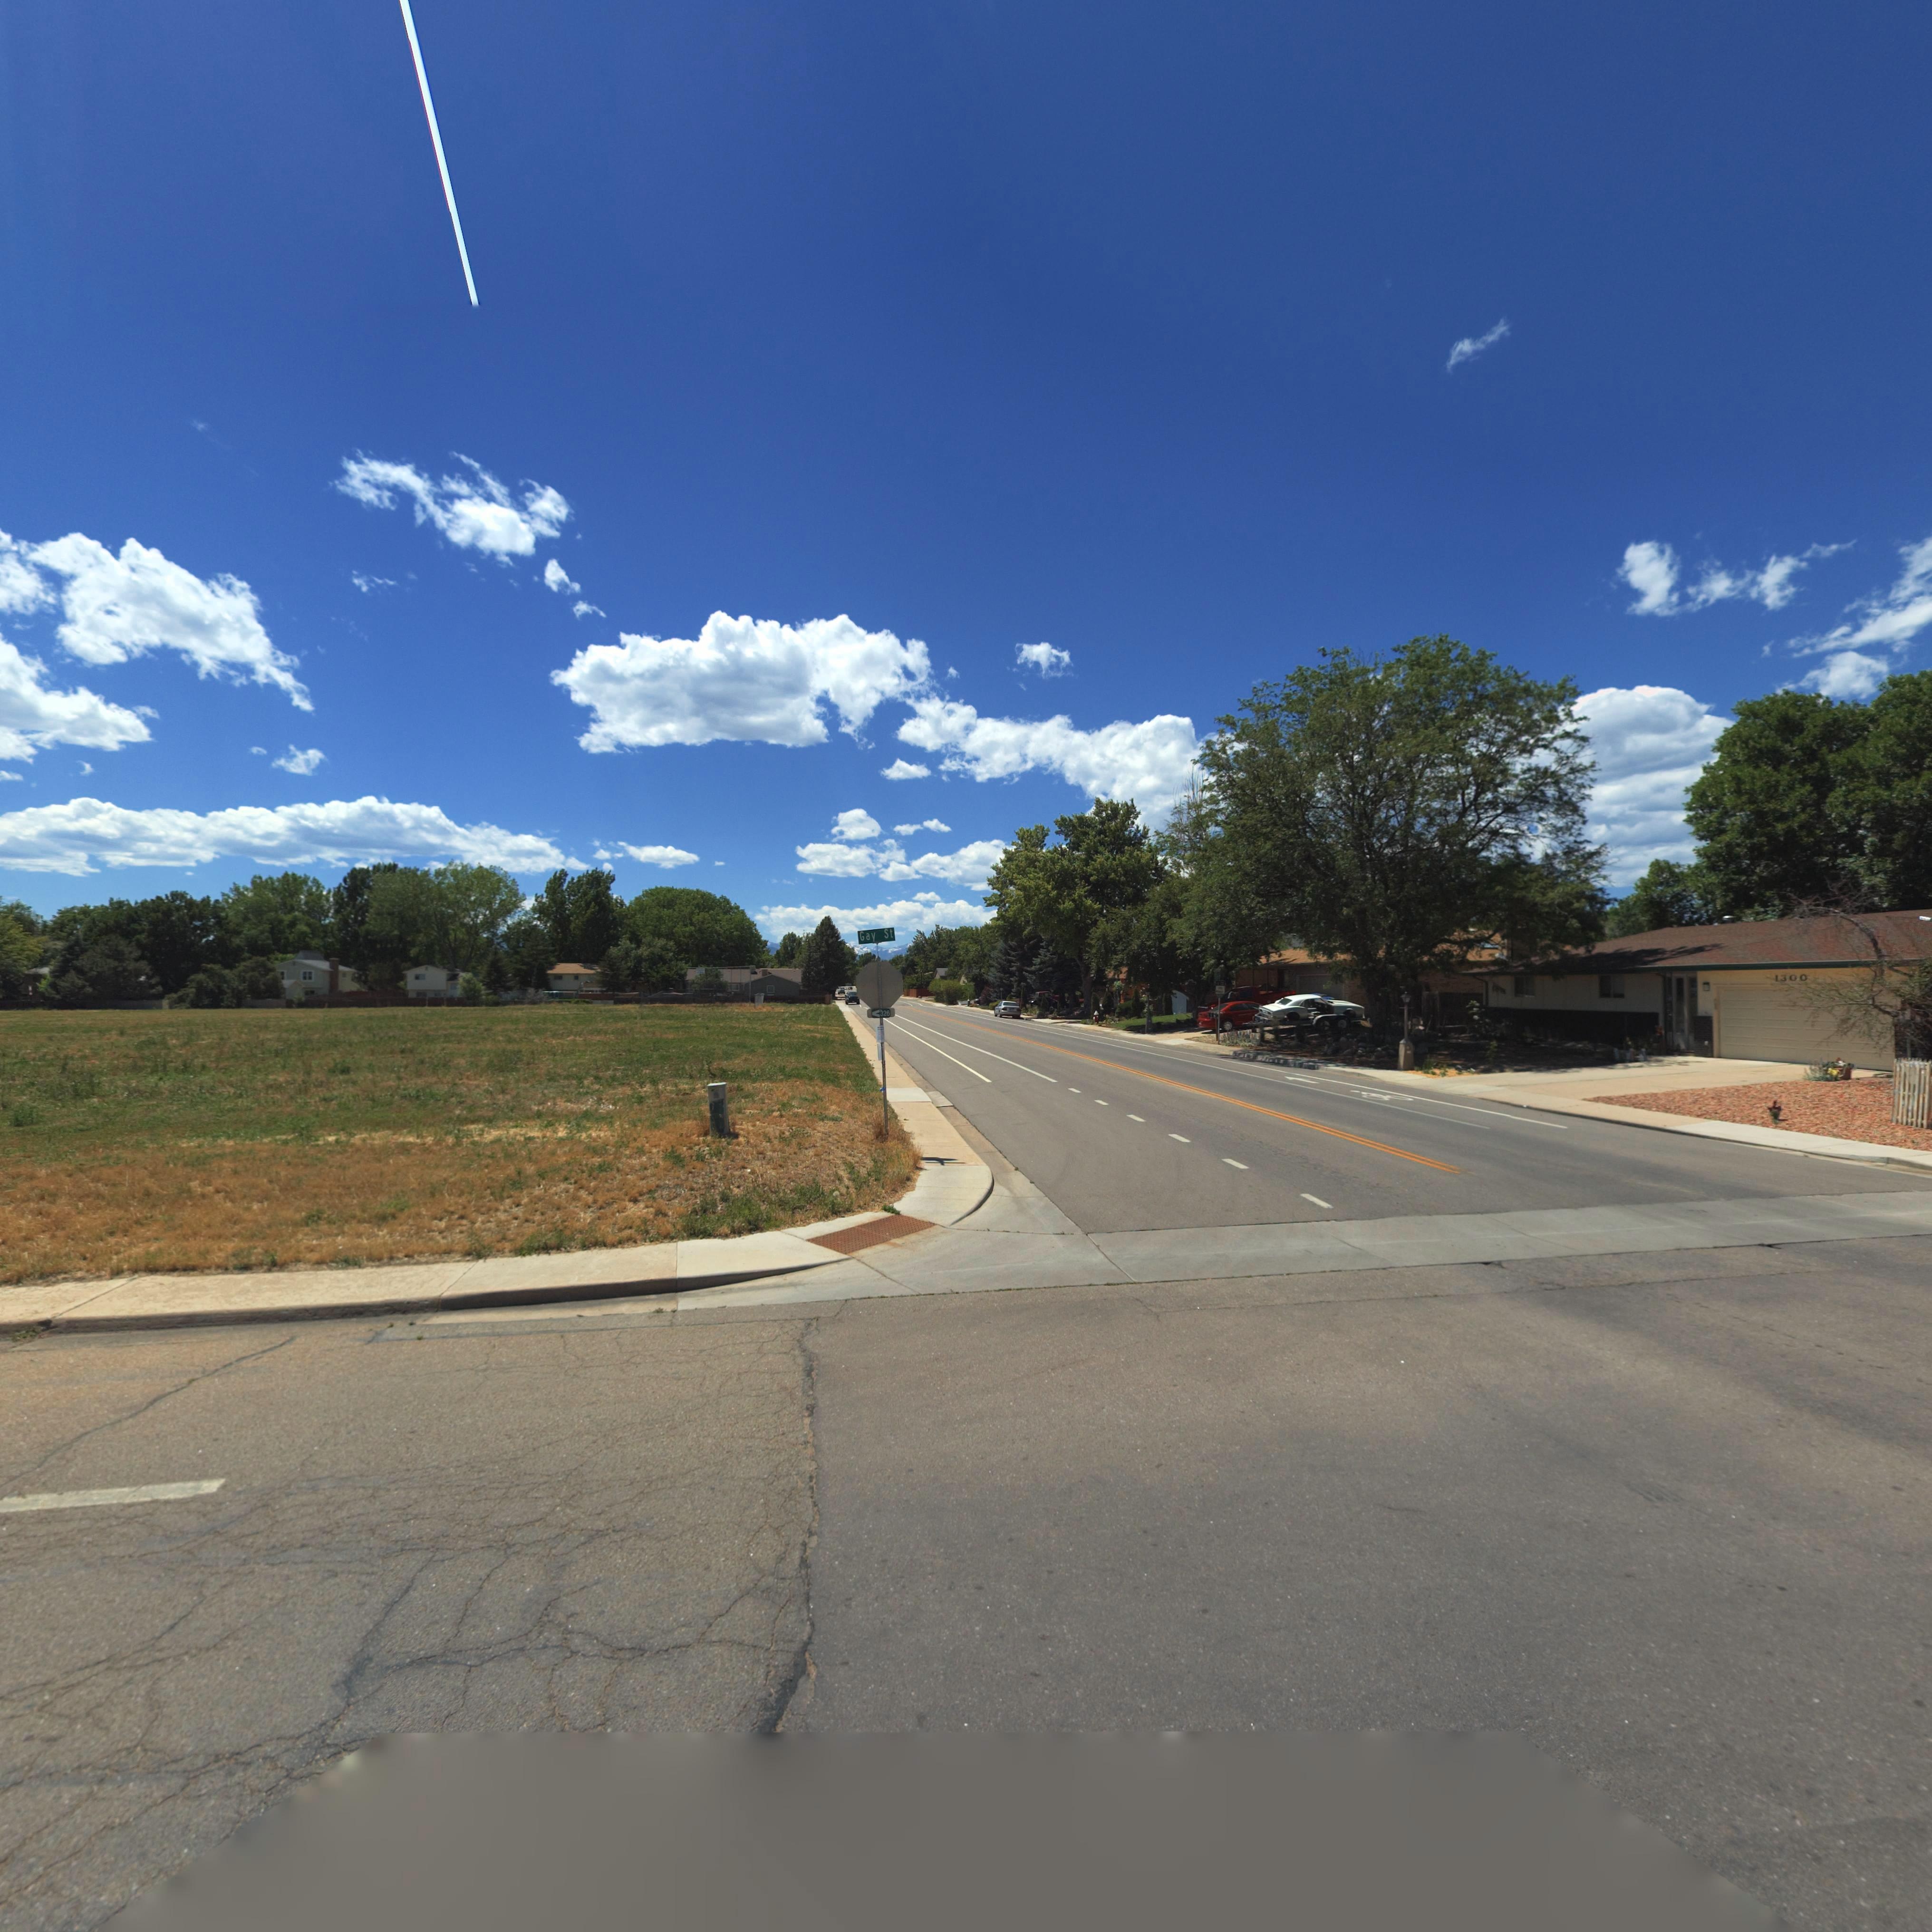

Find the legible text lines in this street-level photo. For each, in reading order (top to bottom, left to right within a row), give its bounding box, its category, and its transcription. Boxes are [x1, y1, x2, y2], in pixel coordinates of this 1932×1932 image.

[860, 928, 893, 942] StreetName: Gay St
[1775, 973, 1808, 982] StreetNumber: 1300